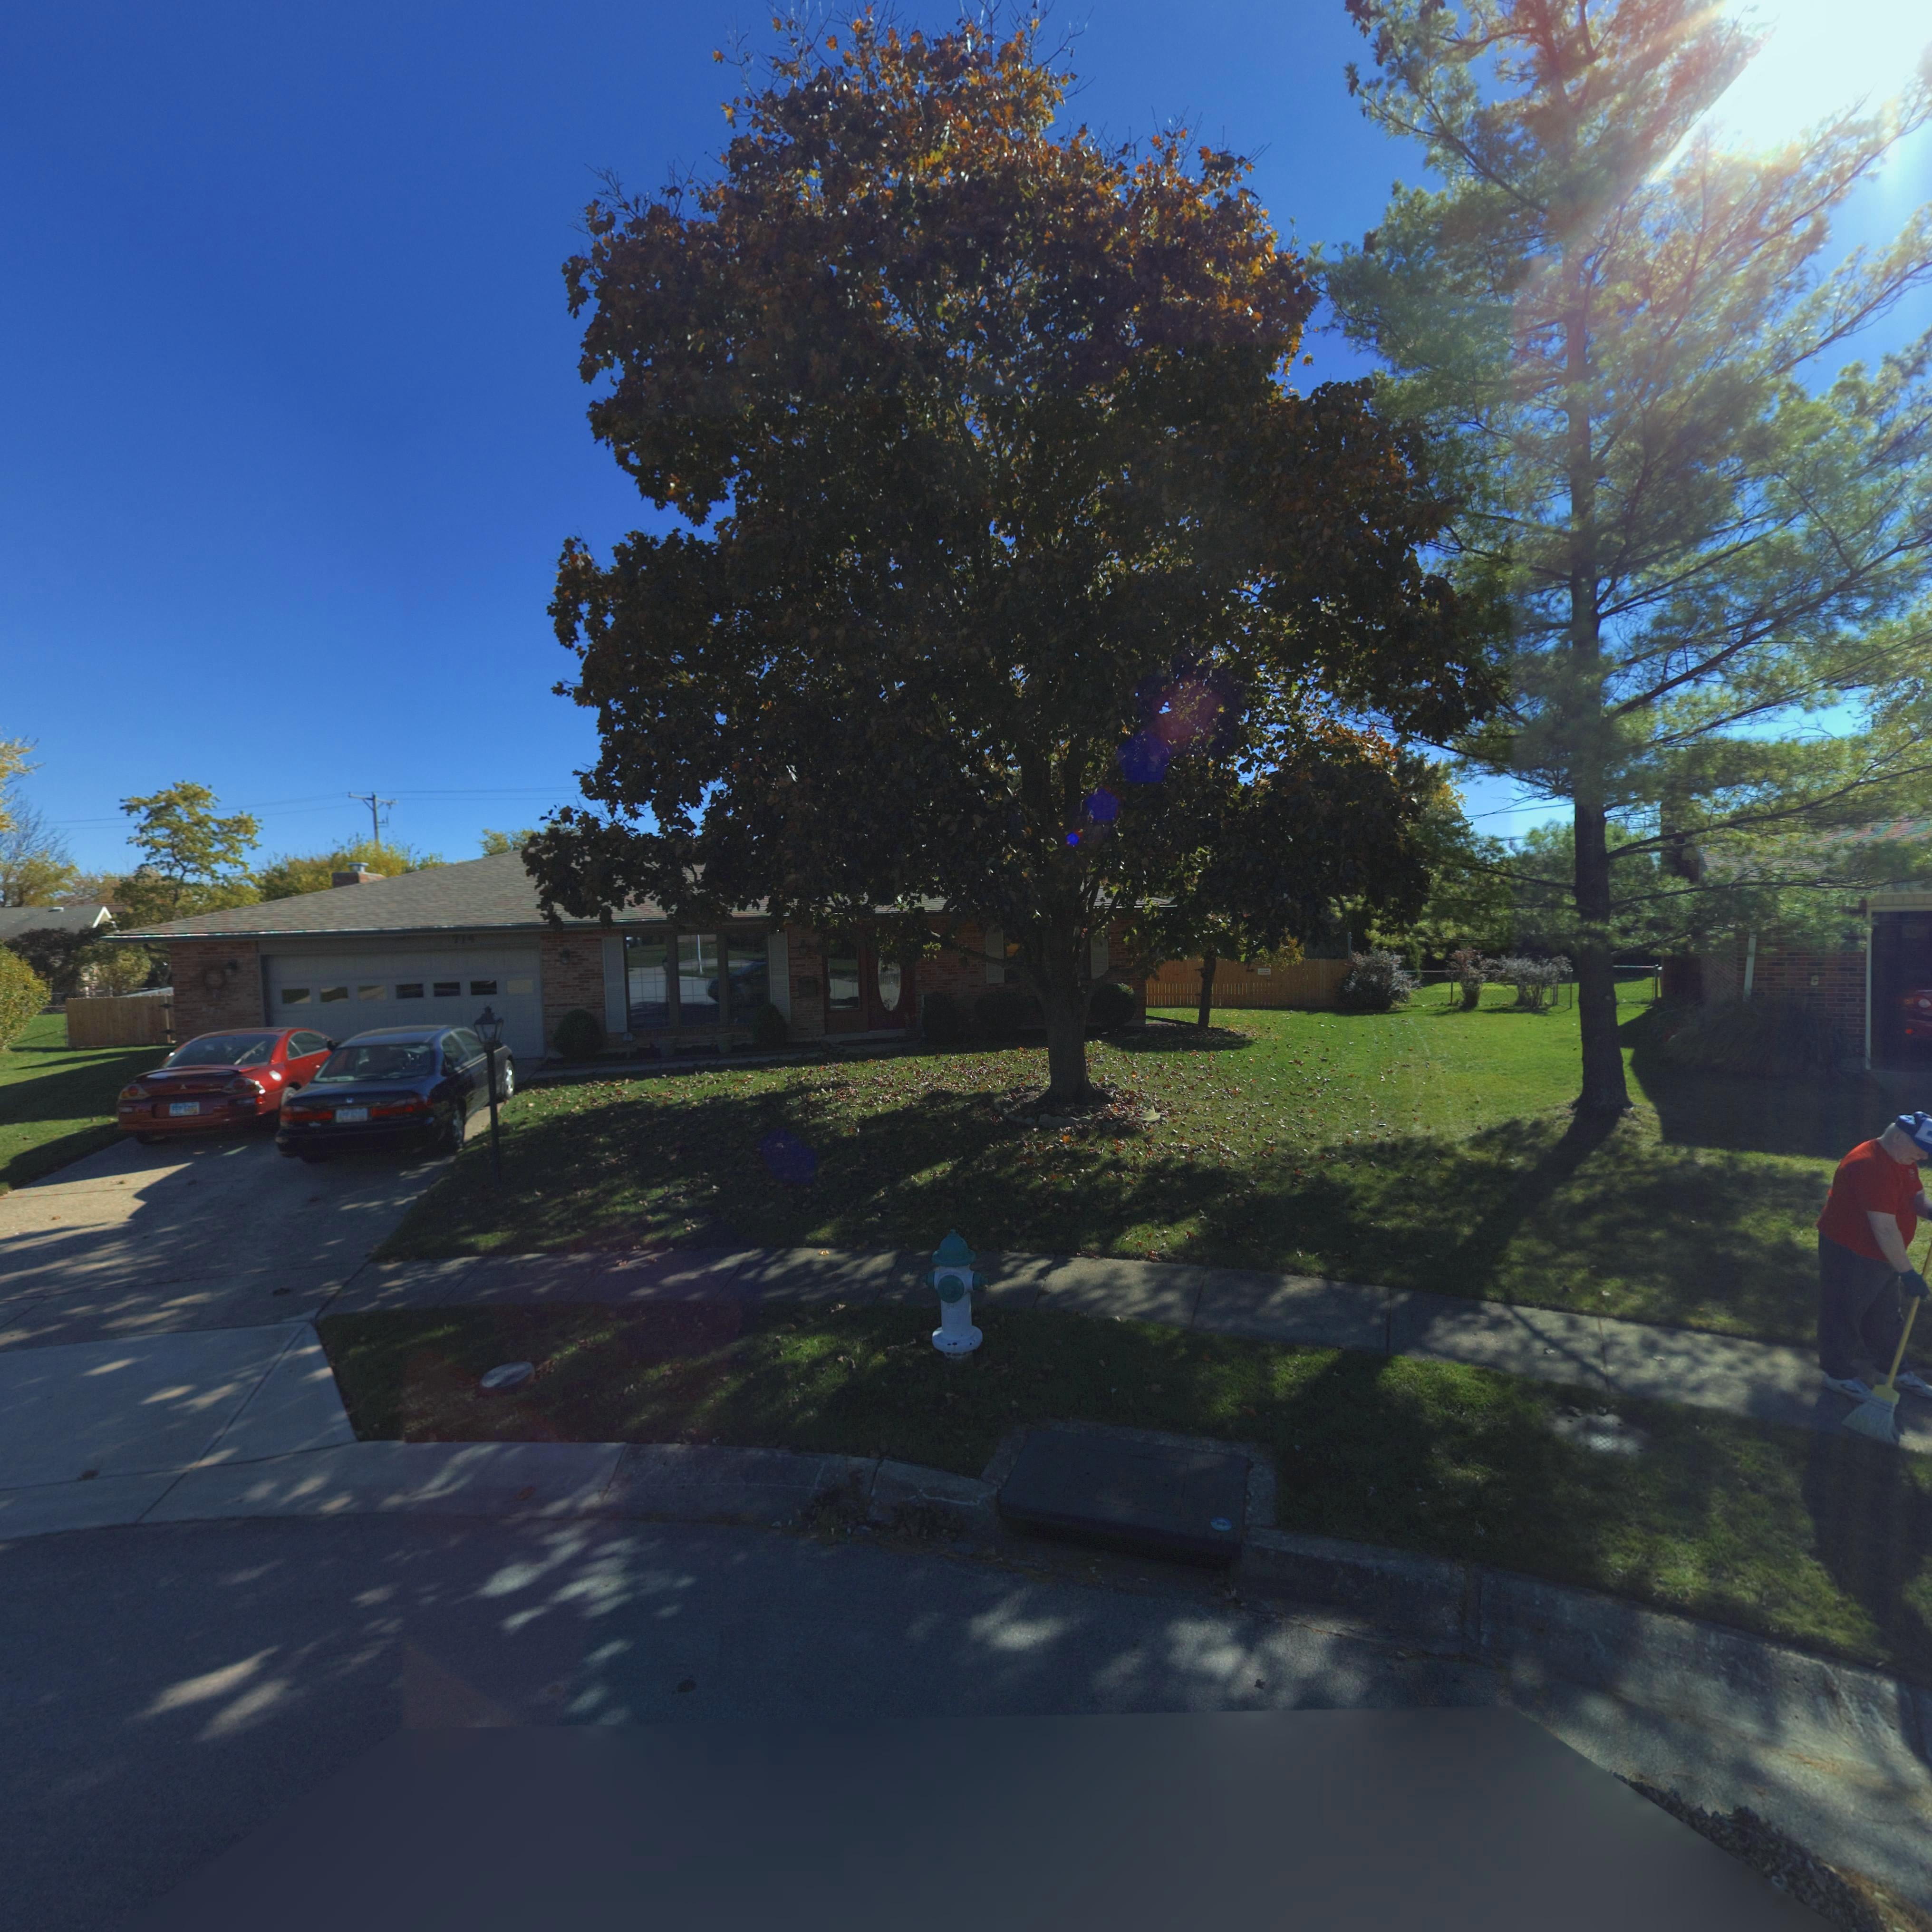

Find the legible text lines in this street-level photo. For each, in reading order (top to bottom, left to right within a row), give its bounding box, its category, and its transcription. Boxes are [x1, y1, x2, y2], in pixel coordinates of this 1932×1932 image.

[452, 933, 476, 944] StreetNumber: 714